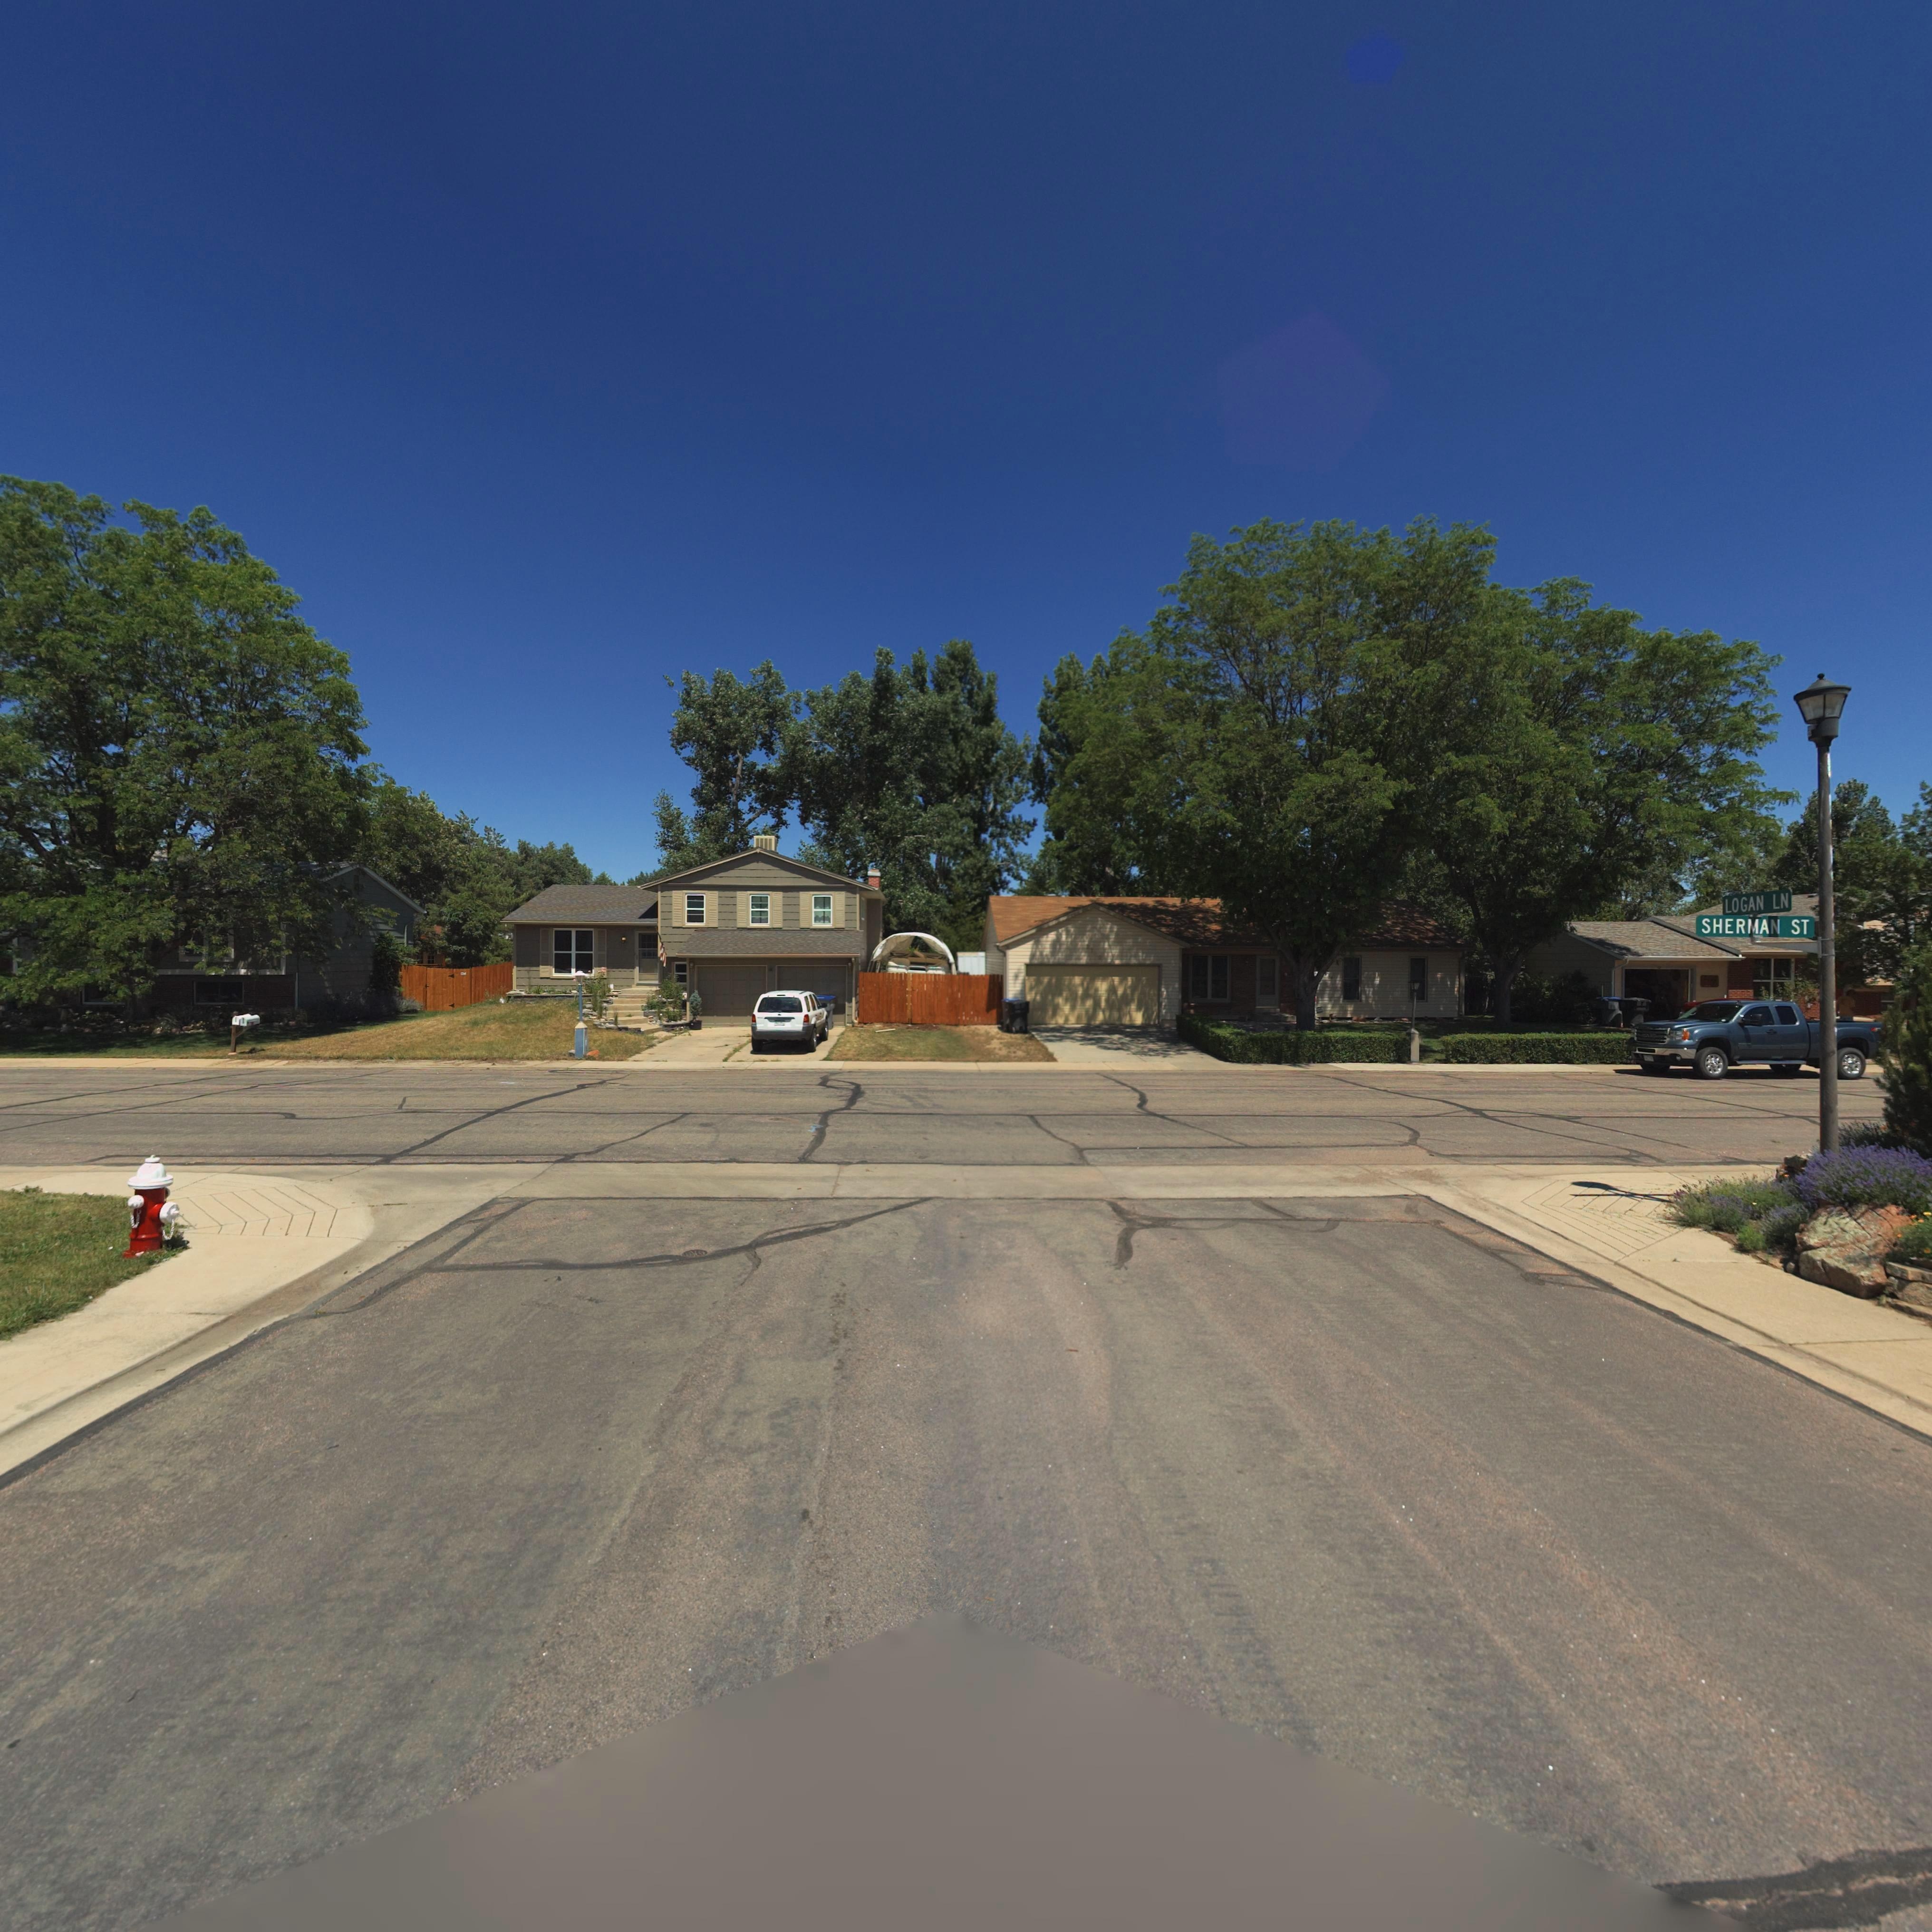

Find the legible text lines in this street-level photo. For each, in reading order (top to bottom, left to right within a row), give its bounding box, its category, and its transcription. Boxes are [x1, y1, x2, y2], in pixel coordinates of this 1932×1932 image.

[1725, 892, 1788, 913] StreetName: LOGAN LN
[1701, 918, 1810, 934] StreetName: SHERMAN ST
[1085, 943, 1102, 961] StreetNumber: 21**